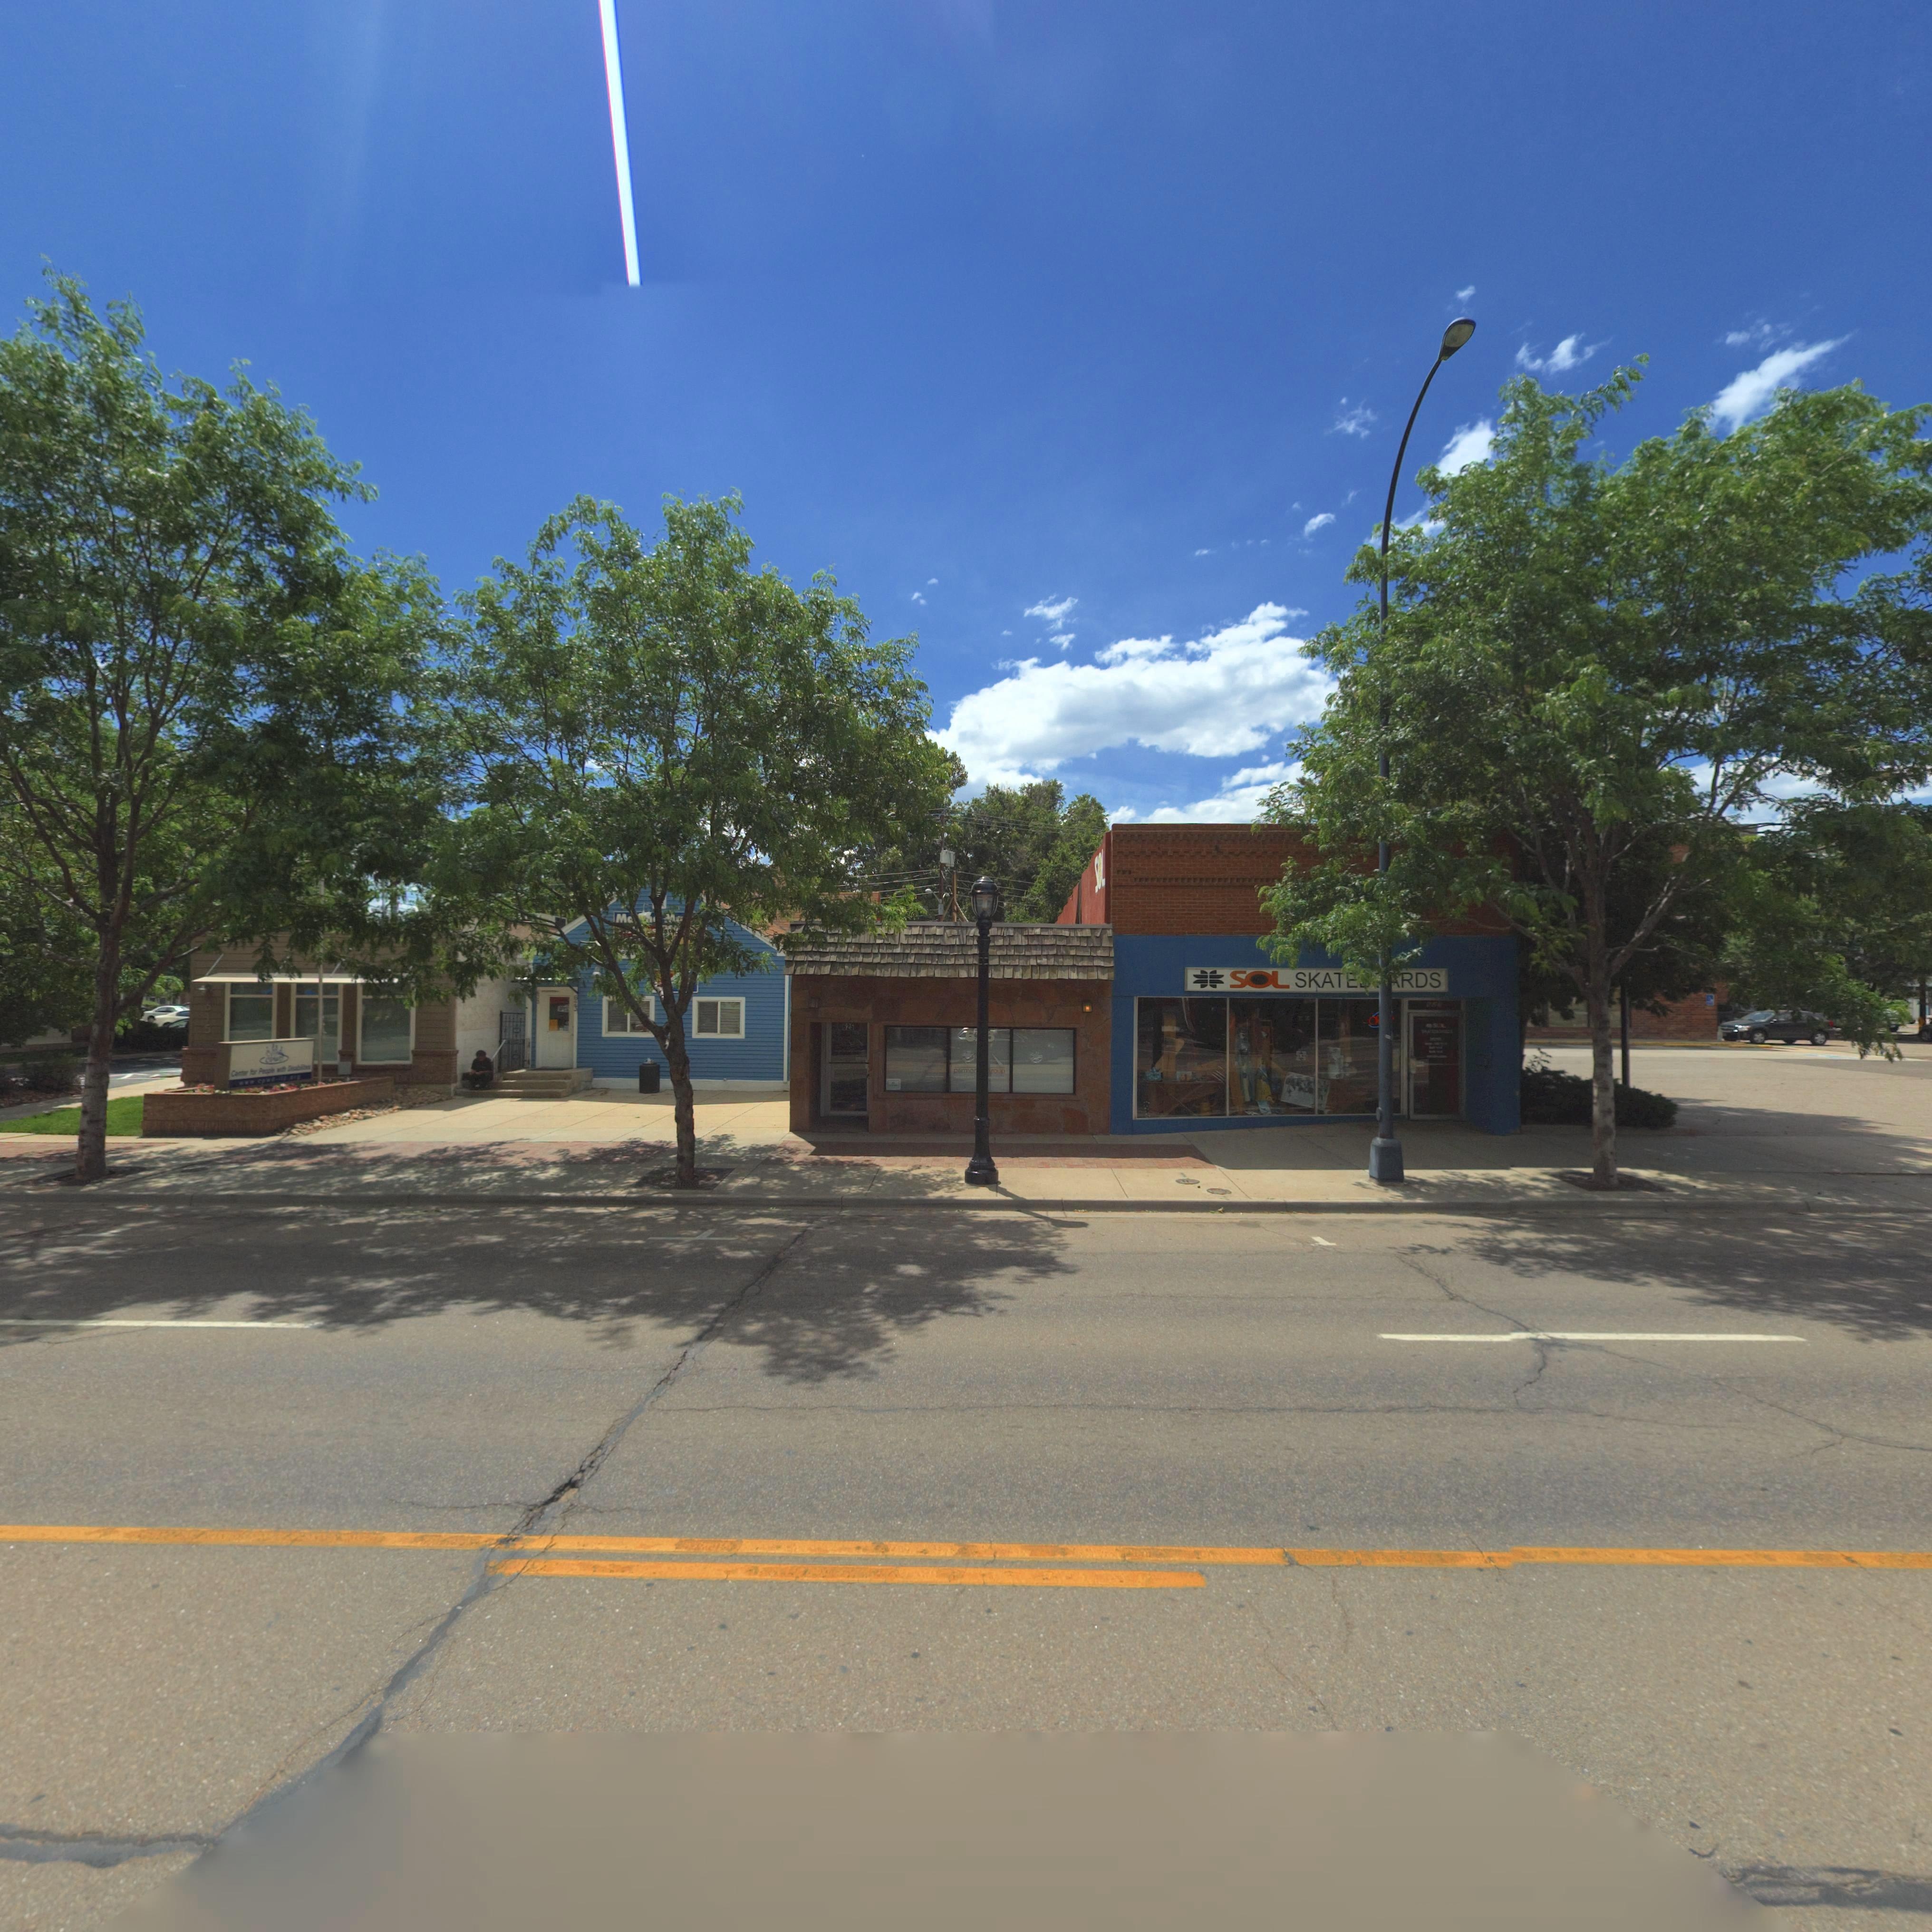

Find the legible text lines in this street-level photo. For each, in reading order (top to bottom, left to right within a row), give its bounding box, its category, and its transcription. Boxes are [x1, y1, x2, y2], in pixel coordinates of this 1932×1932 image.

[1092, 846, 1105, 894] BusinessName: SOL
[613, 912, 684, 923] BusinessName: Ma***n* M*
[1228, 969, 1442, 989] BusinessName: SOL SKATE***RDS
[572, 994, 578, 1012] StreetNumber: 623
[203, 999, 212, 1034] StreetNumber: 615
[842, 1023, 854, 1030] StreetNumber: 625
[1432, 1022, 1446, 1028] BusinessName: SOL
[964, 1029, 996, 1043] StreetNumber: 6**
[230, 1063, 311, 1078] BusinessName: Ce**e* *or People ***h D*sab******s
[953, 1068, 1005, 1075] BusinessName: perma*****roup